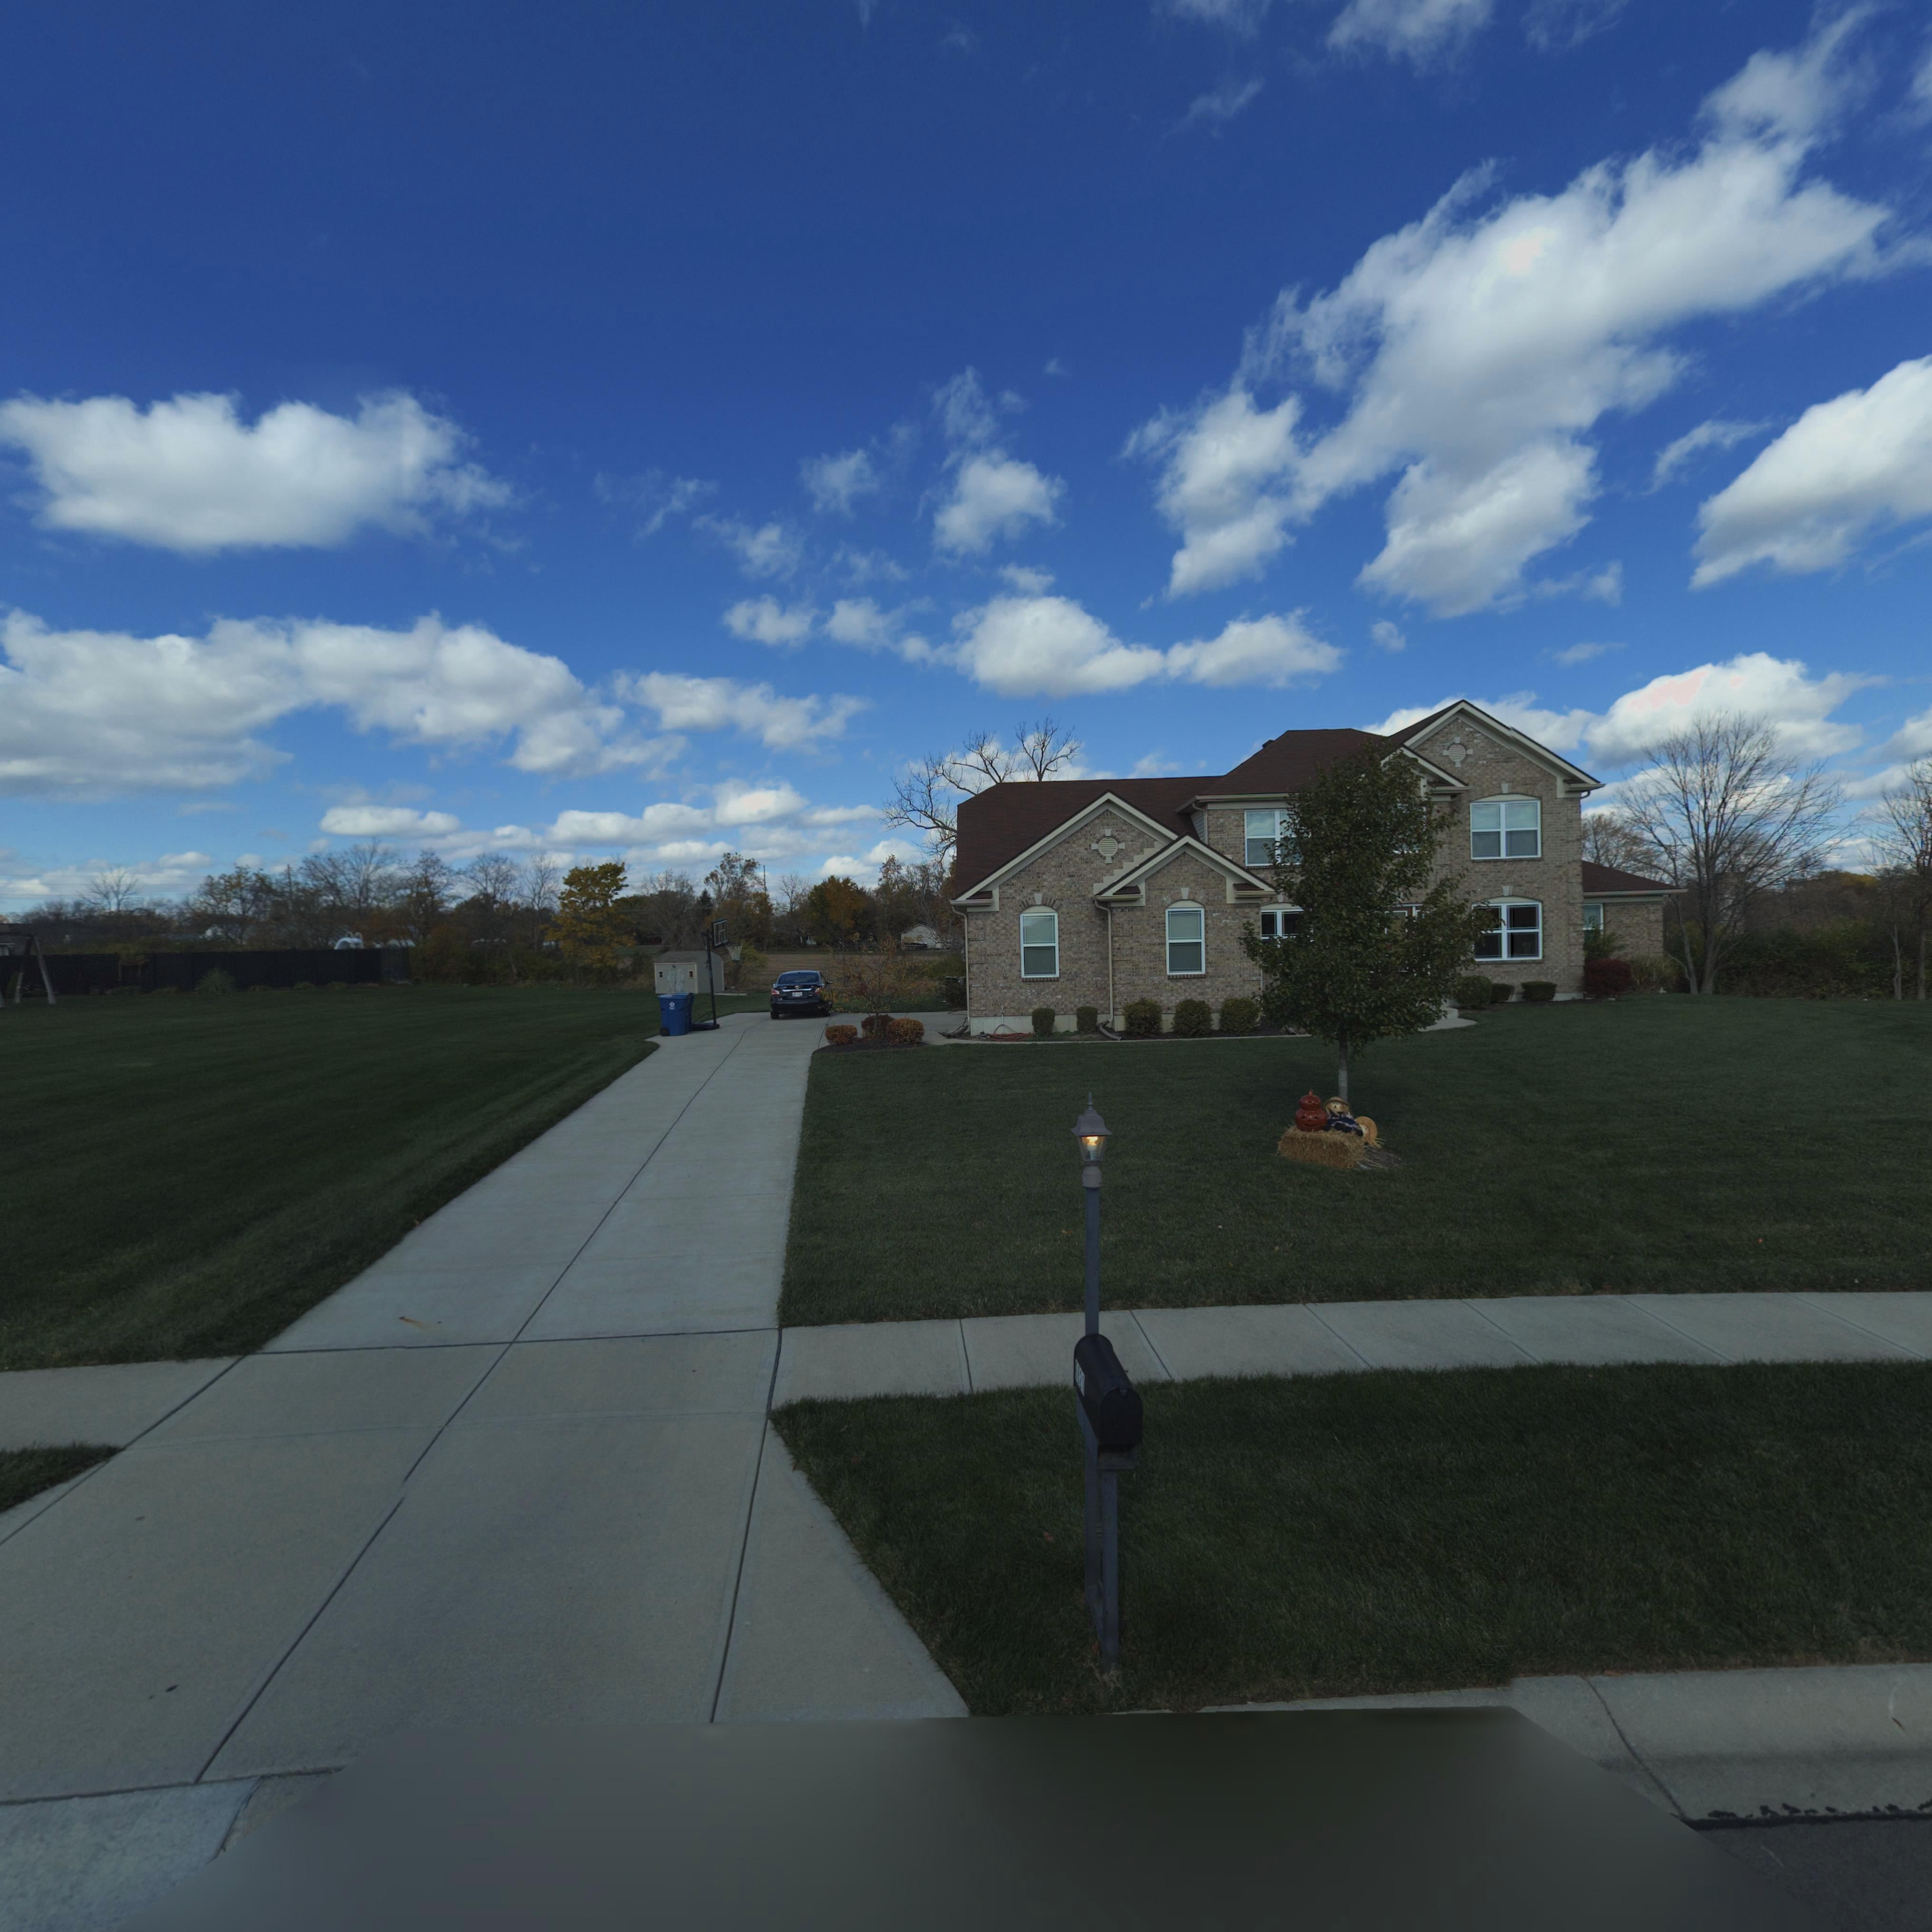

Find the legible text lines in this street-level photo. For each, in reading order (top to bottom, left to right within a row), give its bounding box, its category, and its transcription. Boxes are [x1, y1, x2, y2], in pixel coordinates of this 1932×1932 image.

[1074, 1358, 1086, 1398] StreetNumber: 6*21